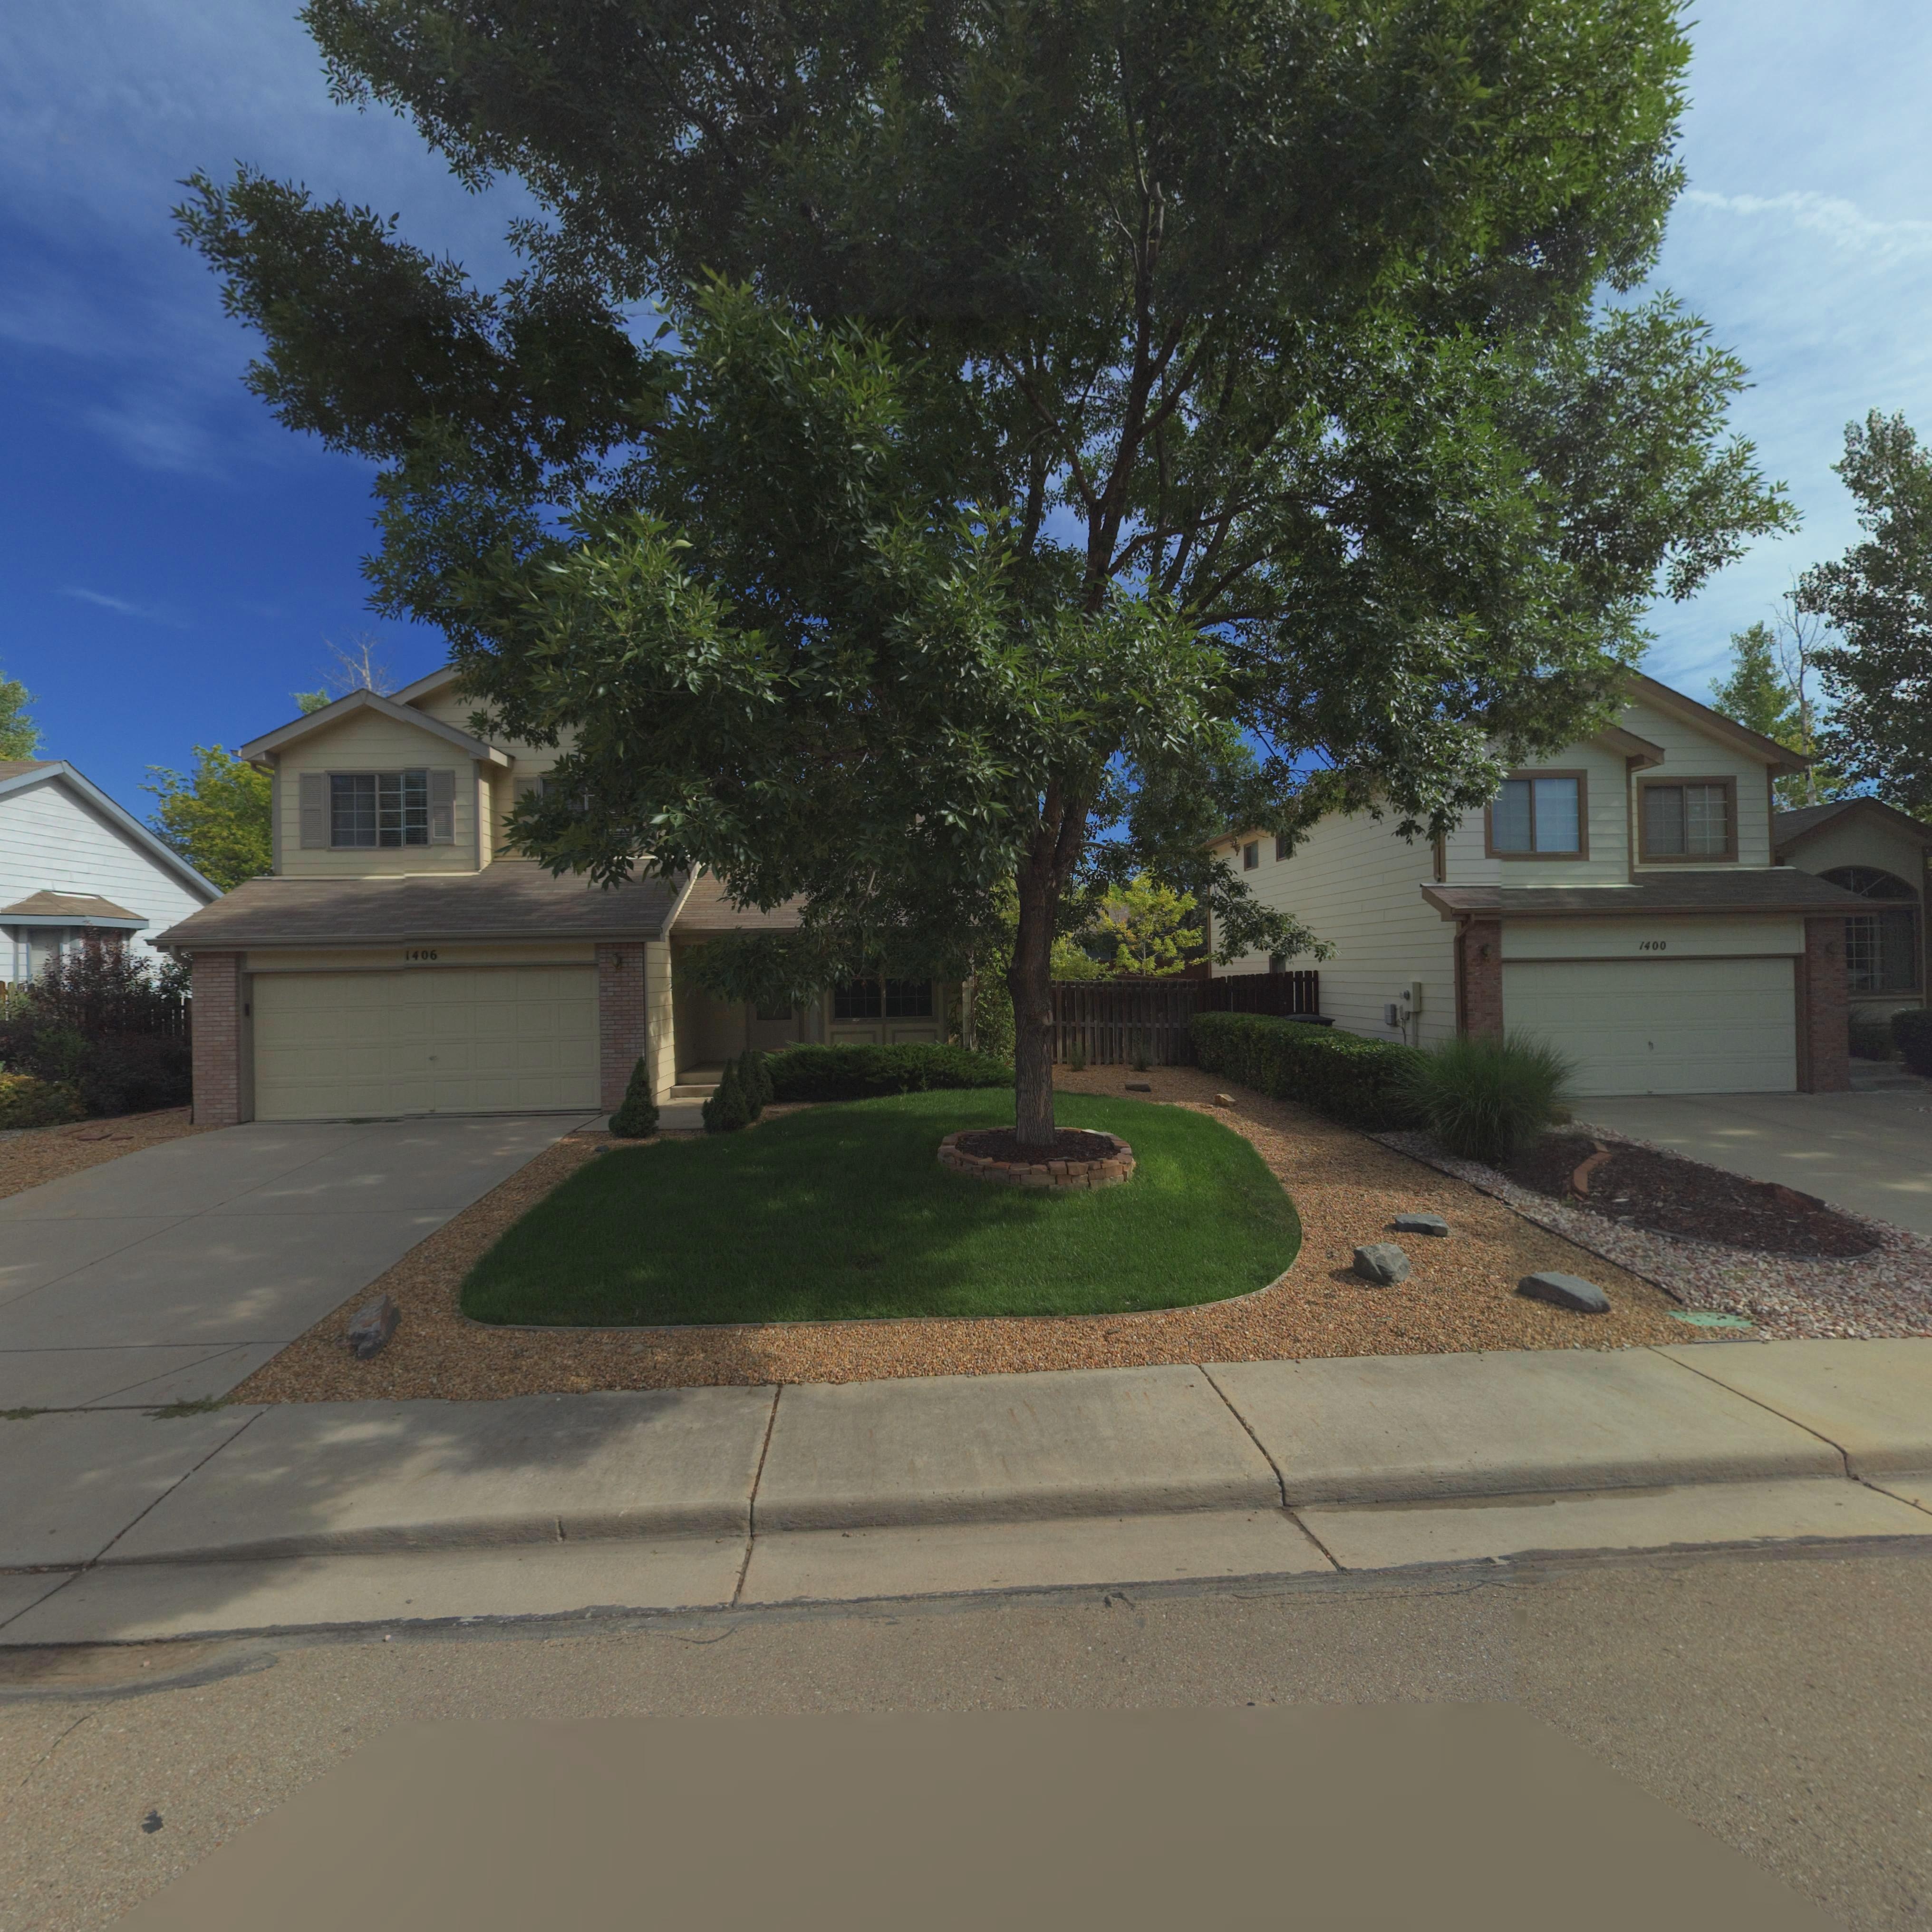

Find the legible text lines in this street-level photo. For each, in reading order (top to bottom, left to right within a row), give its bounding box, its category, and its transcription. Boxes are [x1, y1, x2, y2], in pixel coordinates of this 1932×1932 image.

[1638, 940, 1666, 950] StreetNumber: 1400
[406, 949, 437, 961] StreetNumber: 1406